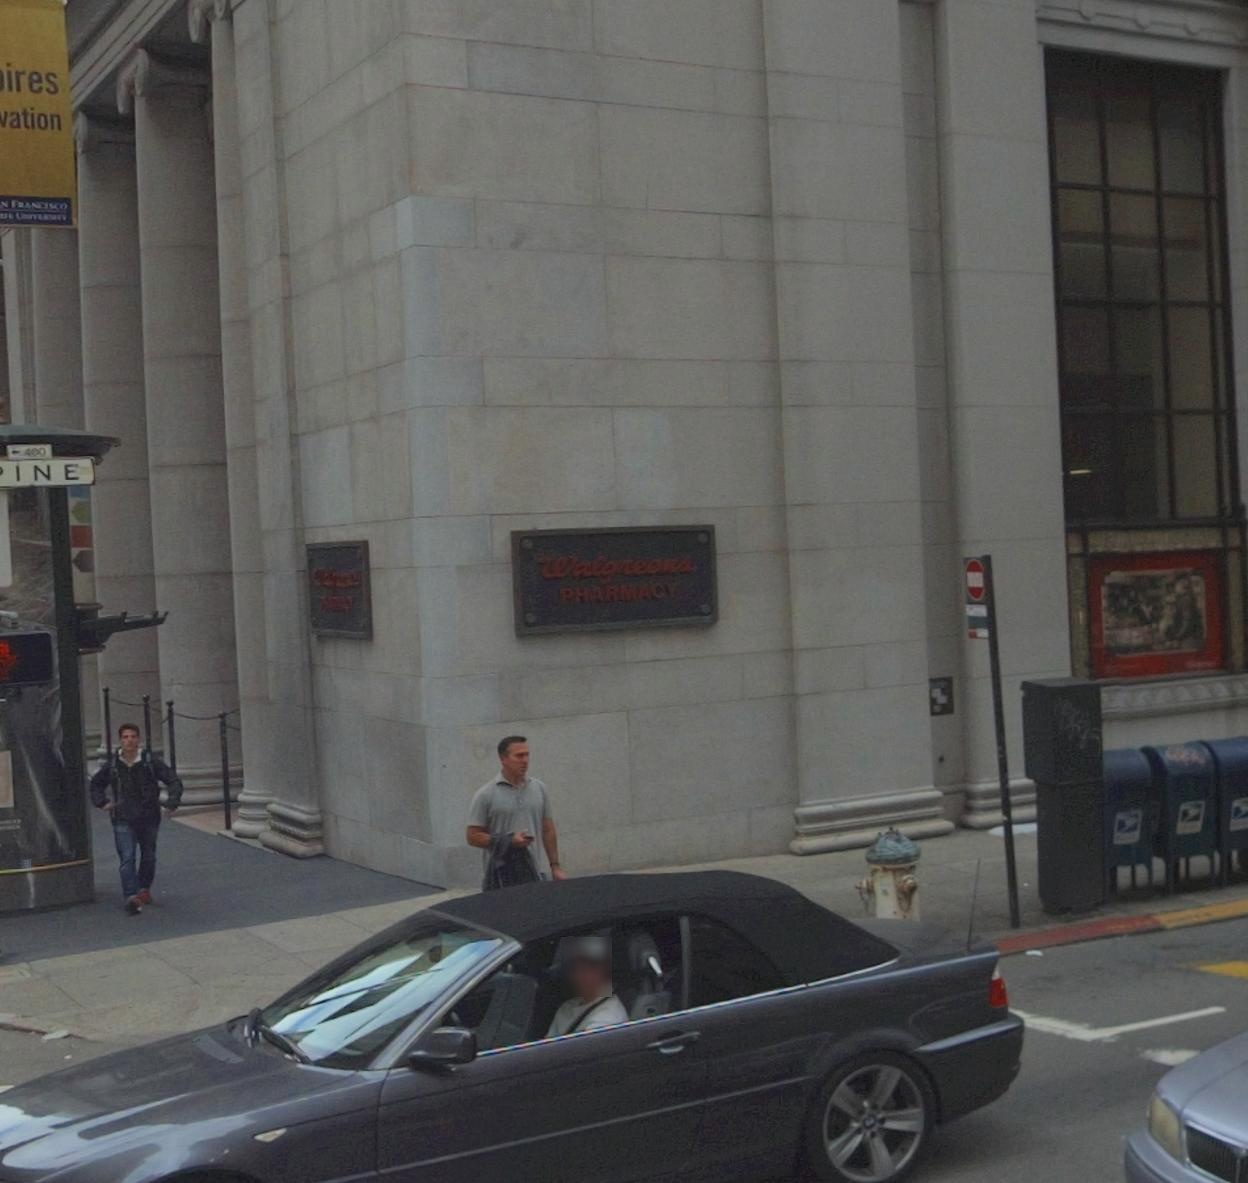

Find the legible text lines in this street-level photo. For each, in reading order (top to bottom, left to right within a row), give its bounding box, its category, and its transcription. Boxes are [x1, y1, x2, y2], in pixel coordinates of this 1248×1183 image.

[2, 57, 64, 98] None: ires
[7, 103, 64, 134] None: ation
[56, 198, 70, 214] None: O
[8, 444, 49, 460] StreetNumberRange: <-400
[11, 460, 84, 485] StreetName: INE
[538, 549, 697, 587] BusinessName: Walgreens
[557, 579, 681, 608] None: PHARMACY